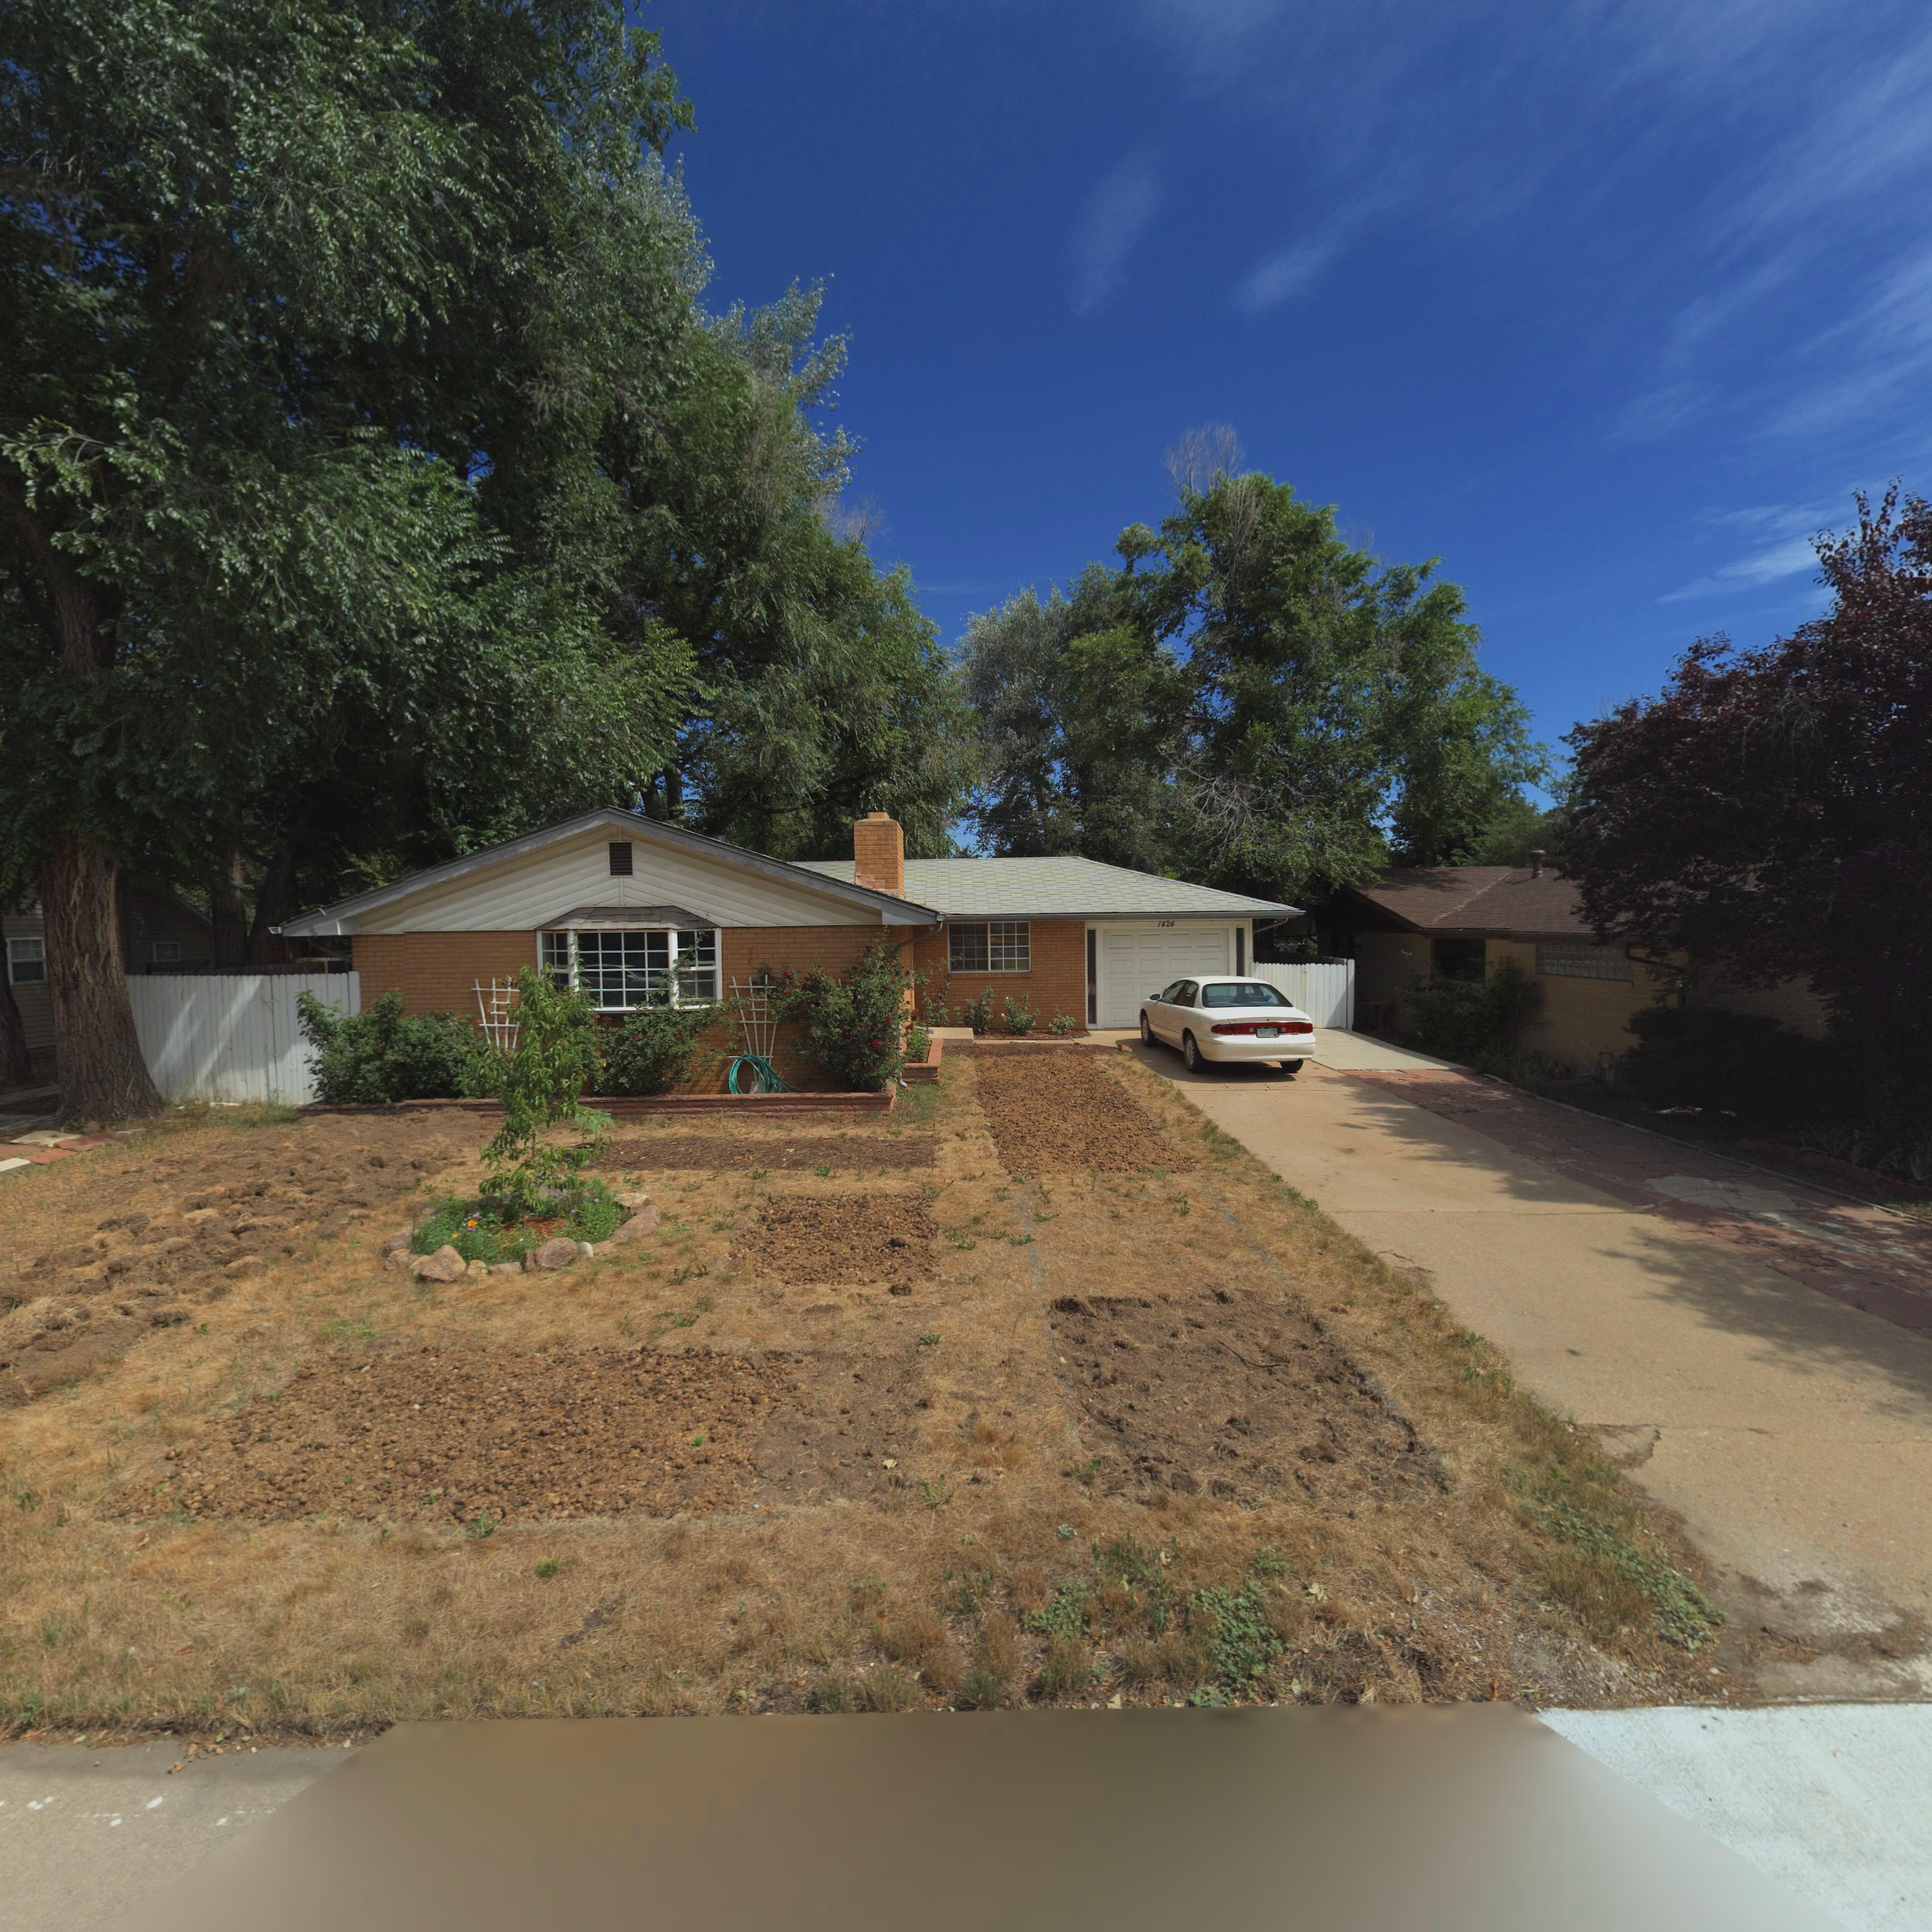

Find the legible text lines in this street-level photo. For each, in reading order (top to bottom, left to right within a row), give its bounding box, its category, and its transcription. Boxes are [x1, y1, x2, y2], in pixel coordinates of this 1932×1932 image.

[1157, 919, 1175, 927] StreetNumber: 1424